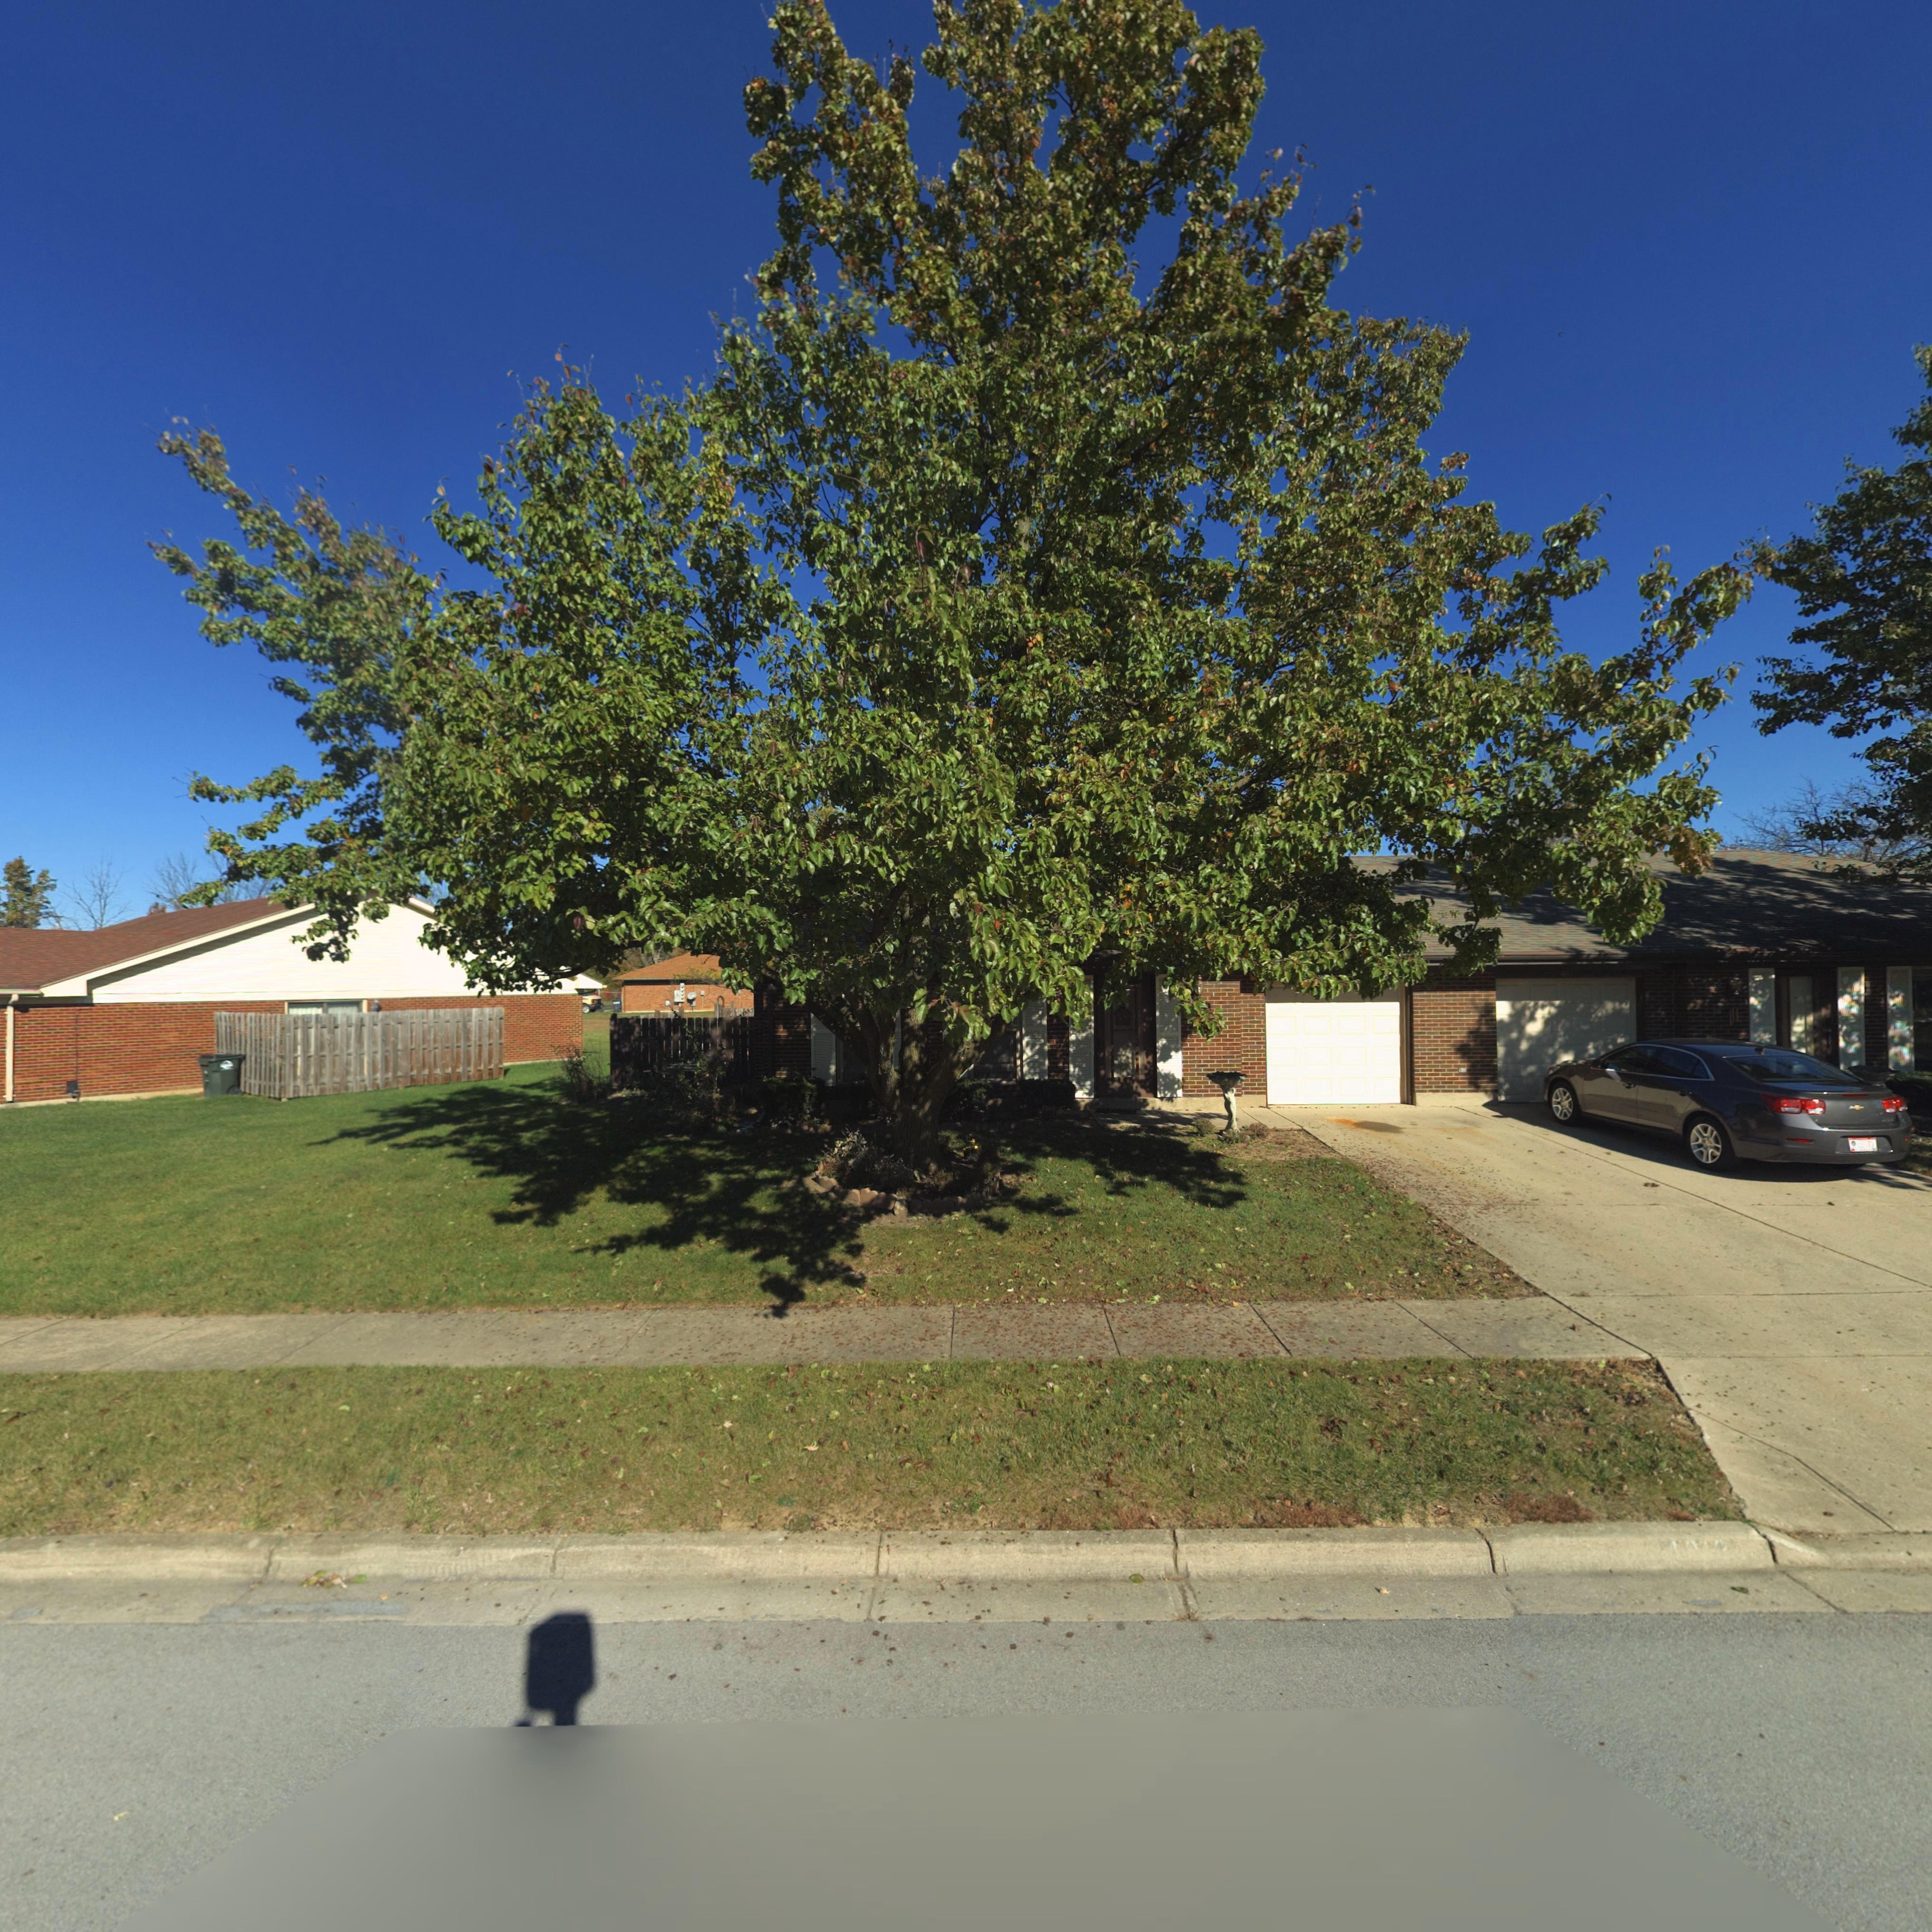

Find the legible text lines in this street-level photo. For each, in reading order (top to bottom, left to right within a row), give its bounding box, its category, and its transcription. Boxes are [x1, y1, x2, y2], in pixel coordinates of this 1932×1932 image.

[1560, 969, 1574, 978] StreetNumber: 40*1